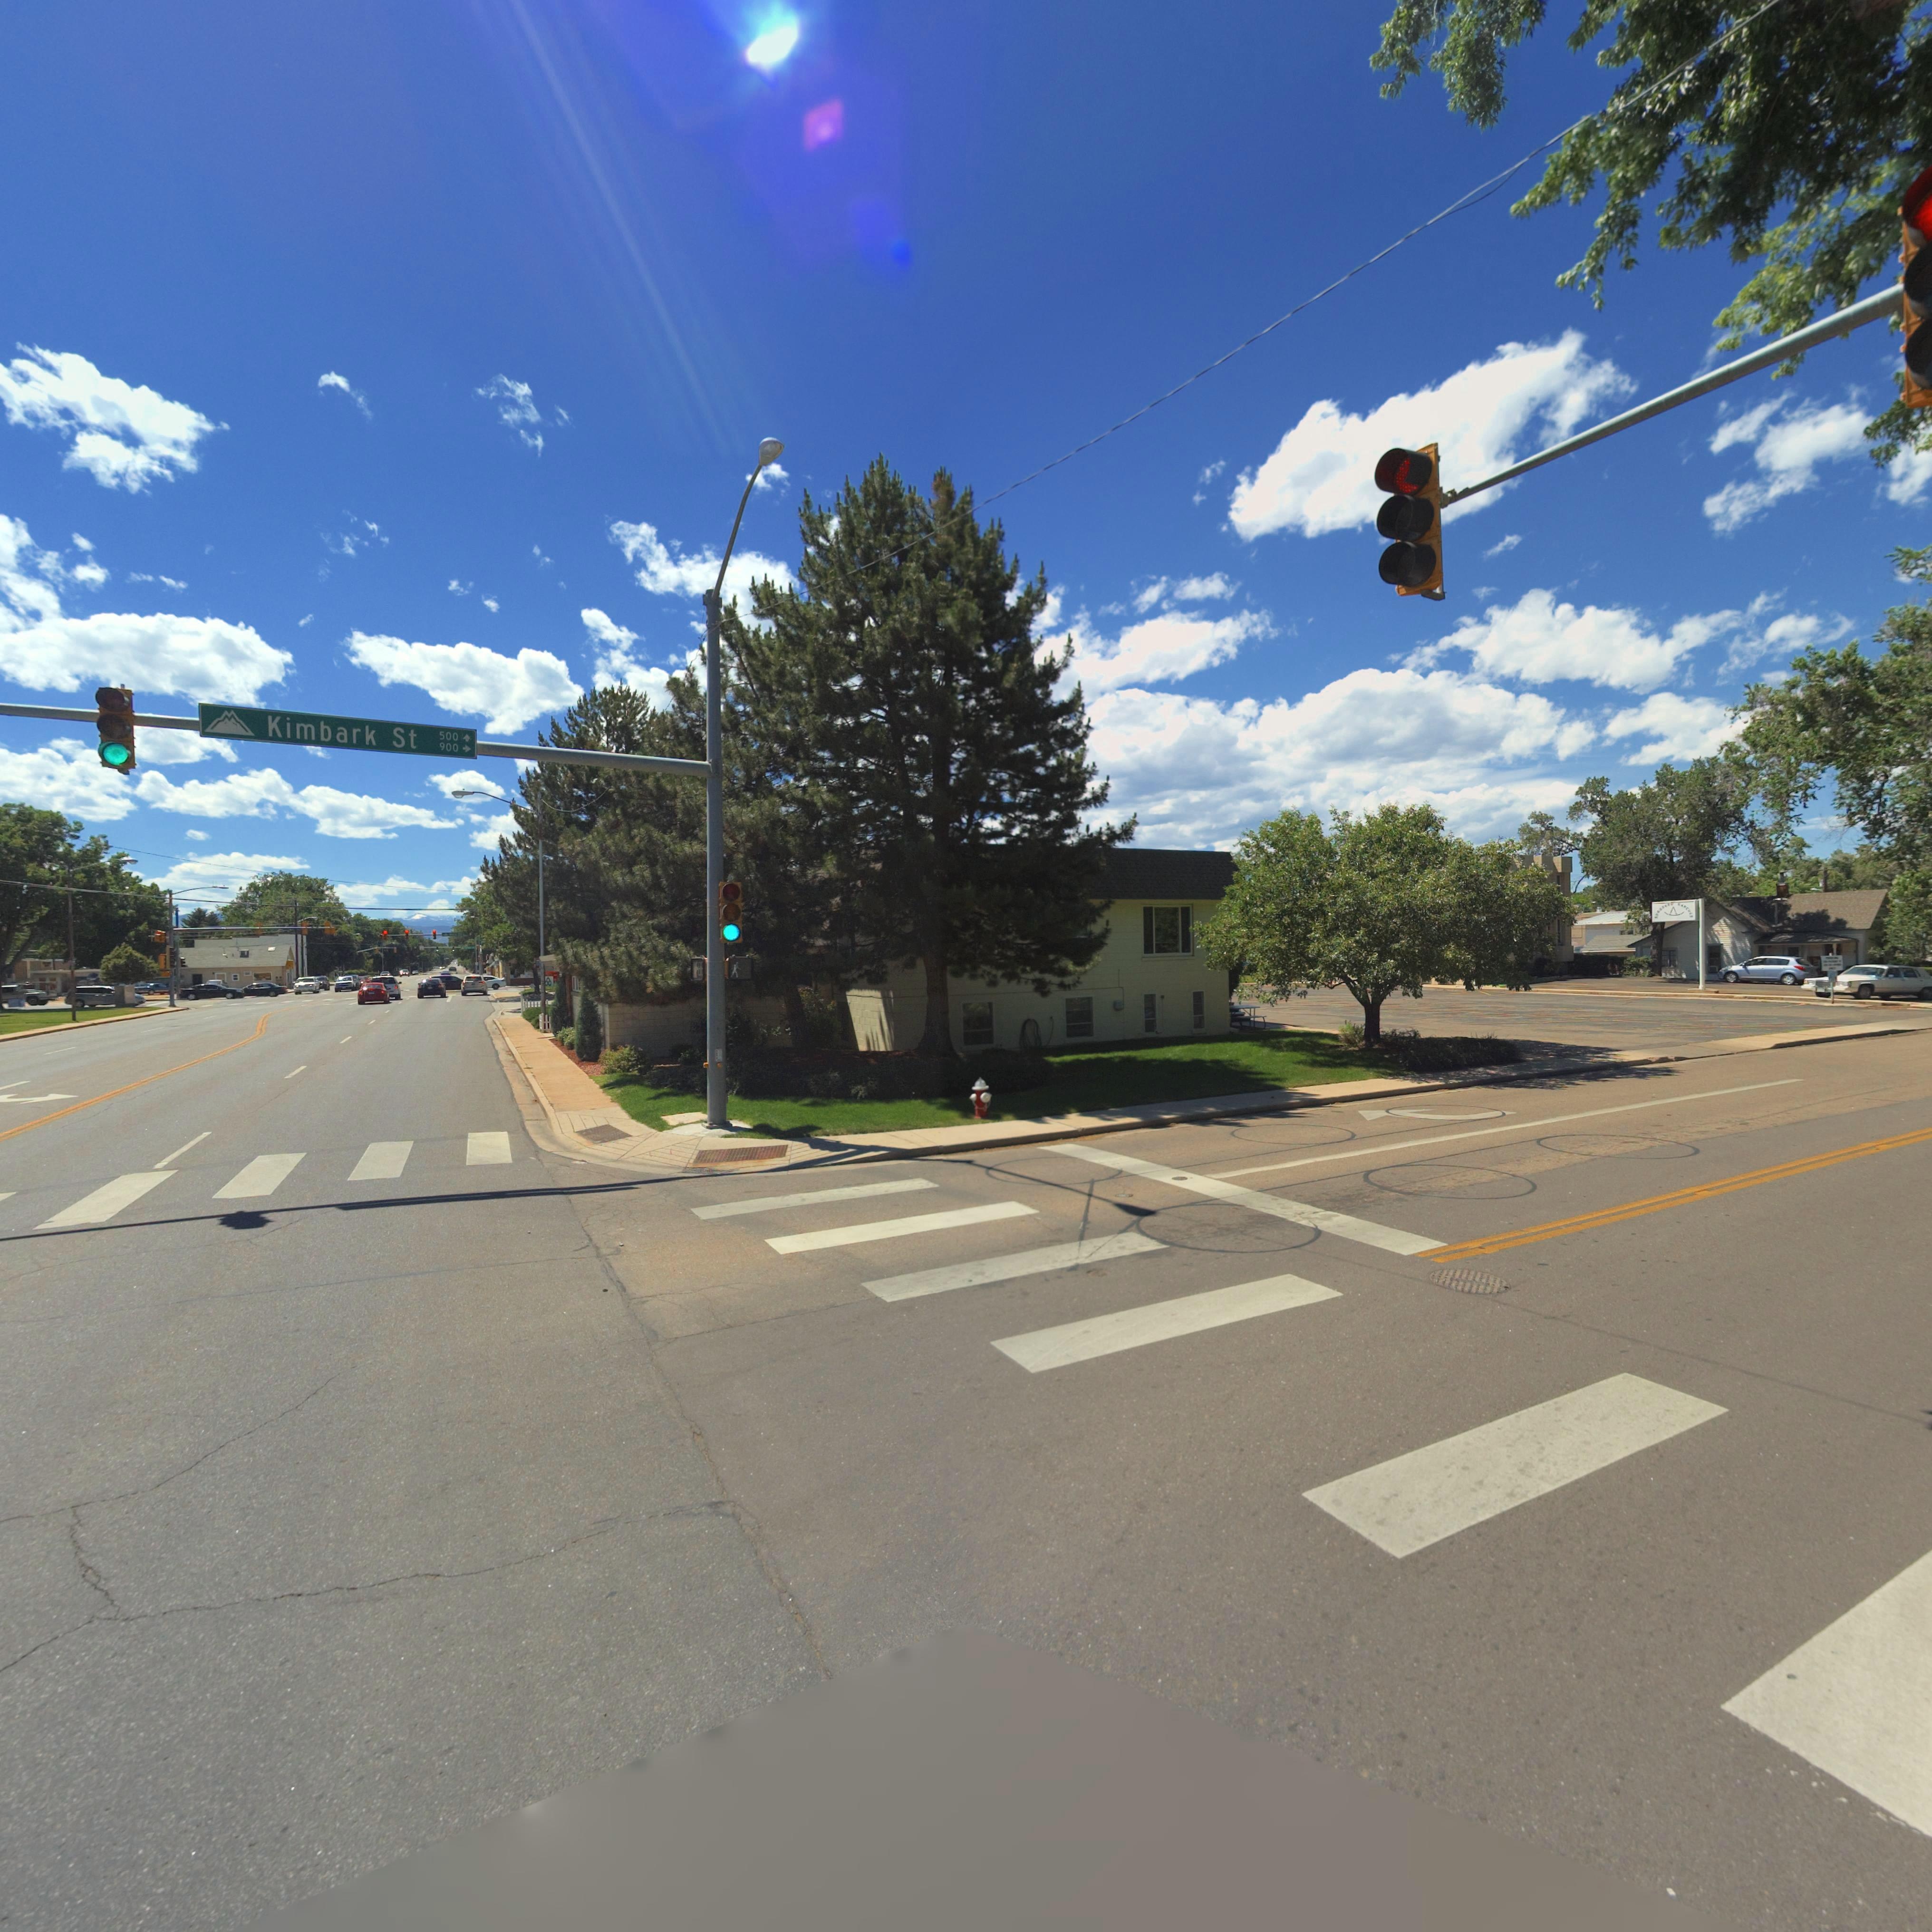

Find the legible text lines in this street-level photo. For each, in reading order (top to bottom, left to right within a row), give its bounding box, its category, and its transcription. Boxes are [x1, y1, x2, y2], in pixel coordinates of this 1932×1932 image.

[266, 714, 418, 750] StreetName: Kimbark
[439, 731, 459, 742] StreetNumberRange: 500
[439, 742, 472, 753] StreetNumberRange: 900->